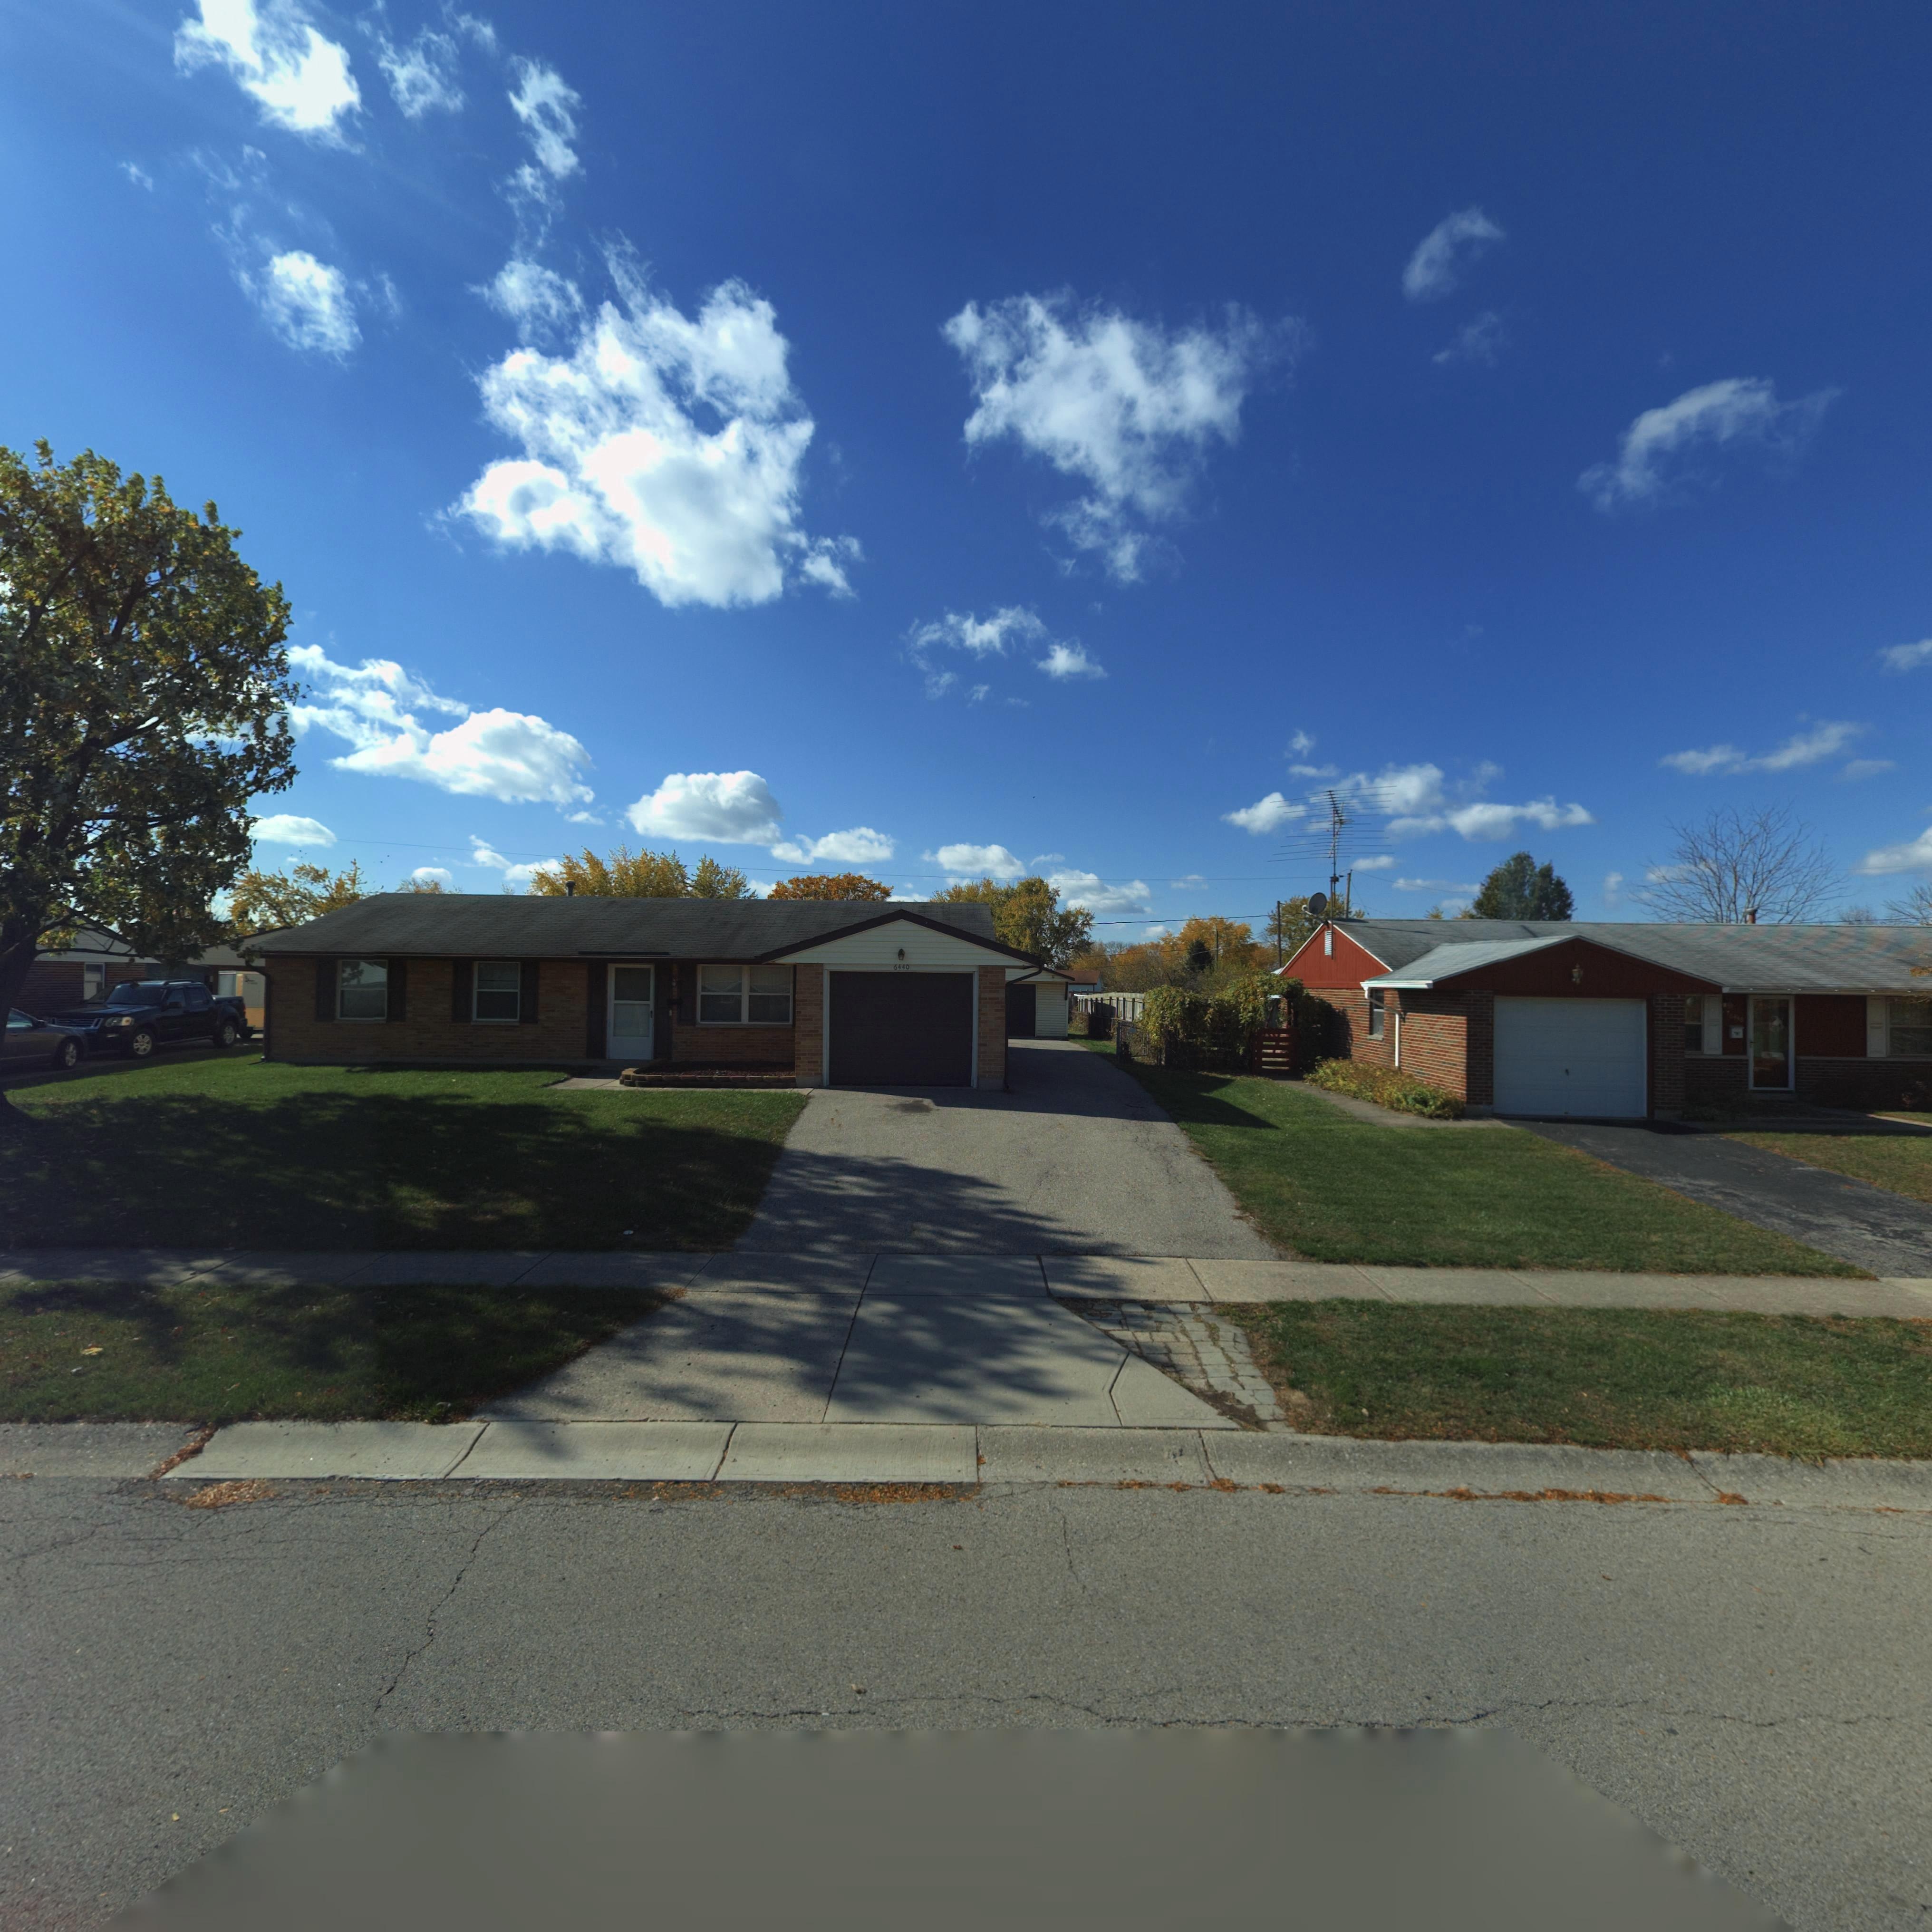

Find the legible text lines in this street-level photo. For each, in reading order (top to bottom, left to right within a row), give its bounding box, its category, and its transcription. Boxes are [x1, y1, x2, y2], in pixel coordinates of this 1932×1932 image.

[893, 964, 910, 971] StreetNumber: 6440
[1728, 1012, 1745, 1024] StreetNumber: 64*0